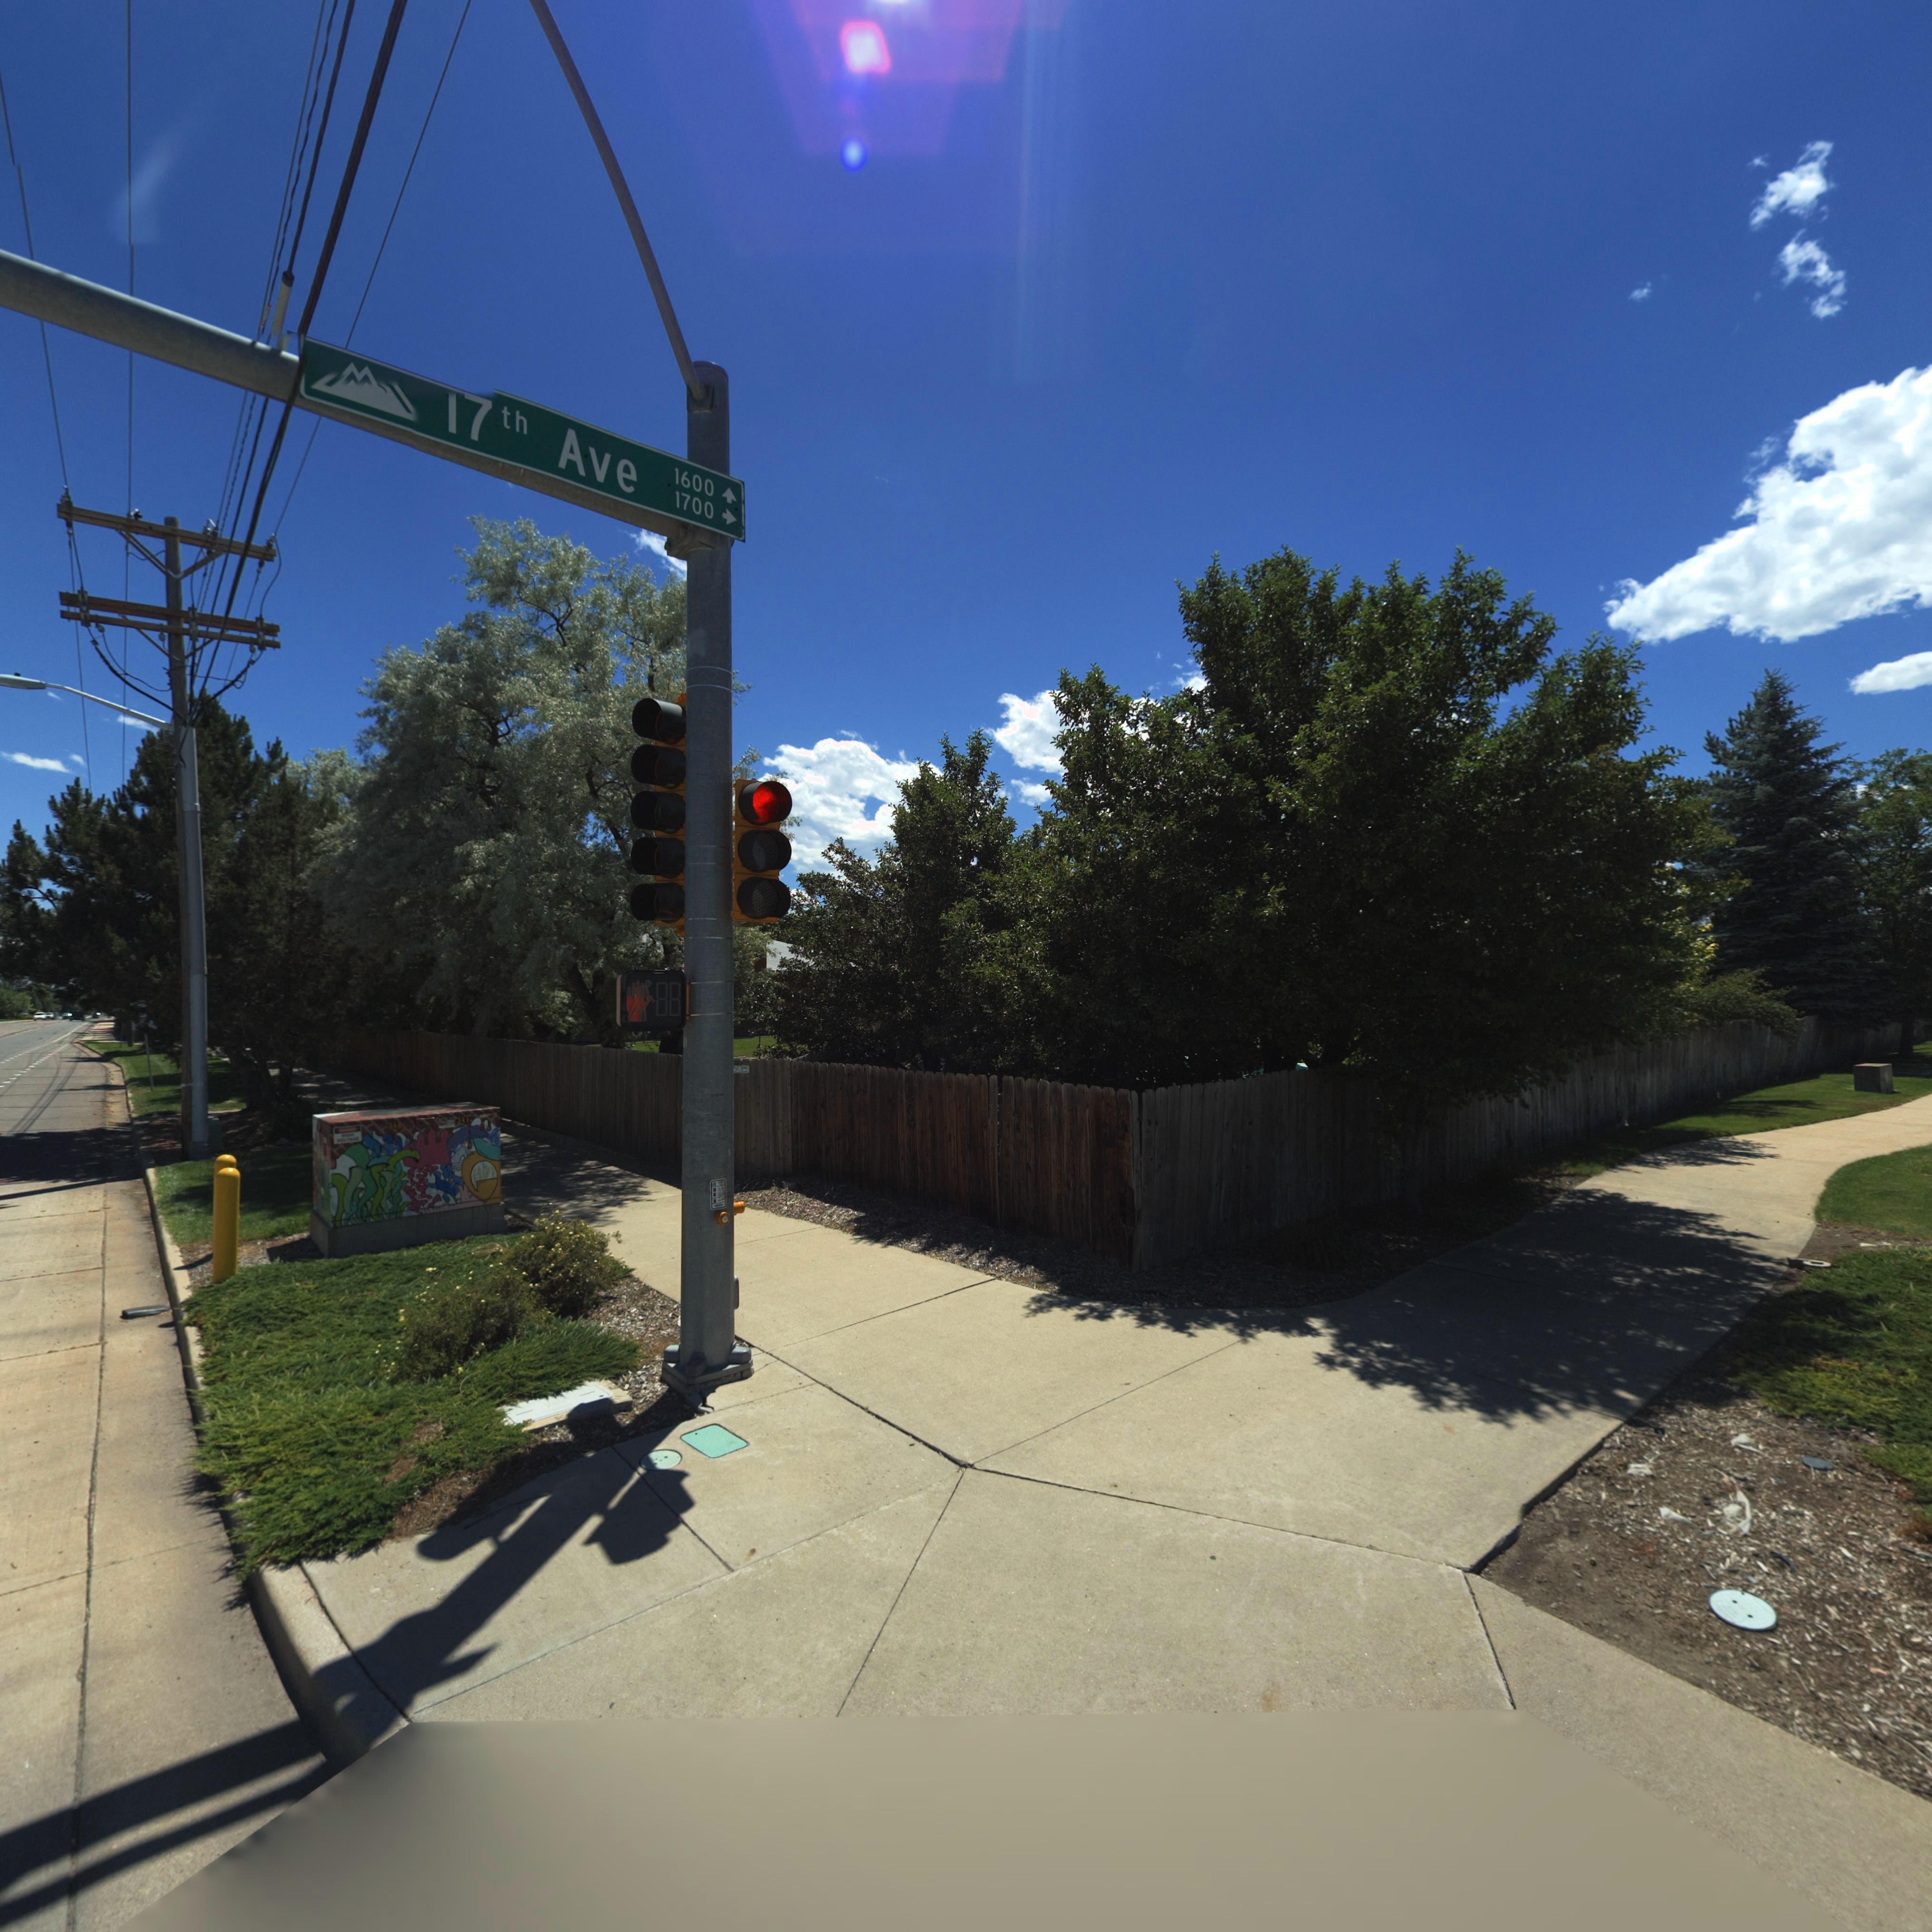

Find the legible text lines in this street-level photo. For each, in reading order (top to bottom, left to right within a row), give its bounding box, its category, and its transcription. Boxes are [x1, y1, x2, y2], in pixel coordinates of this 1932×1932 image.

[443, 387, 639, 496] StreetName: 17th Ave
[673, 467, 715, 498] StreetNumberRange: 1600
[674, 490, 739, 526] StreetNumberRange: 1700 ->